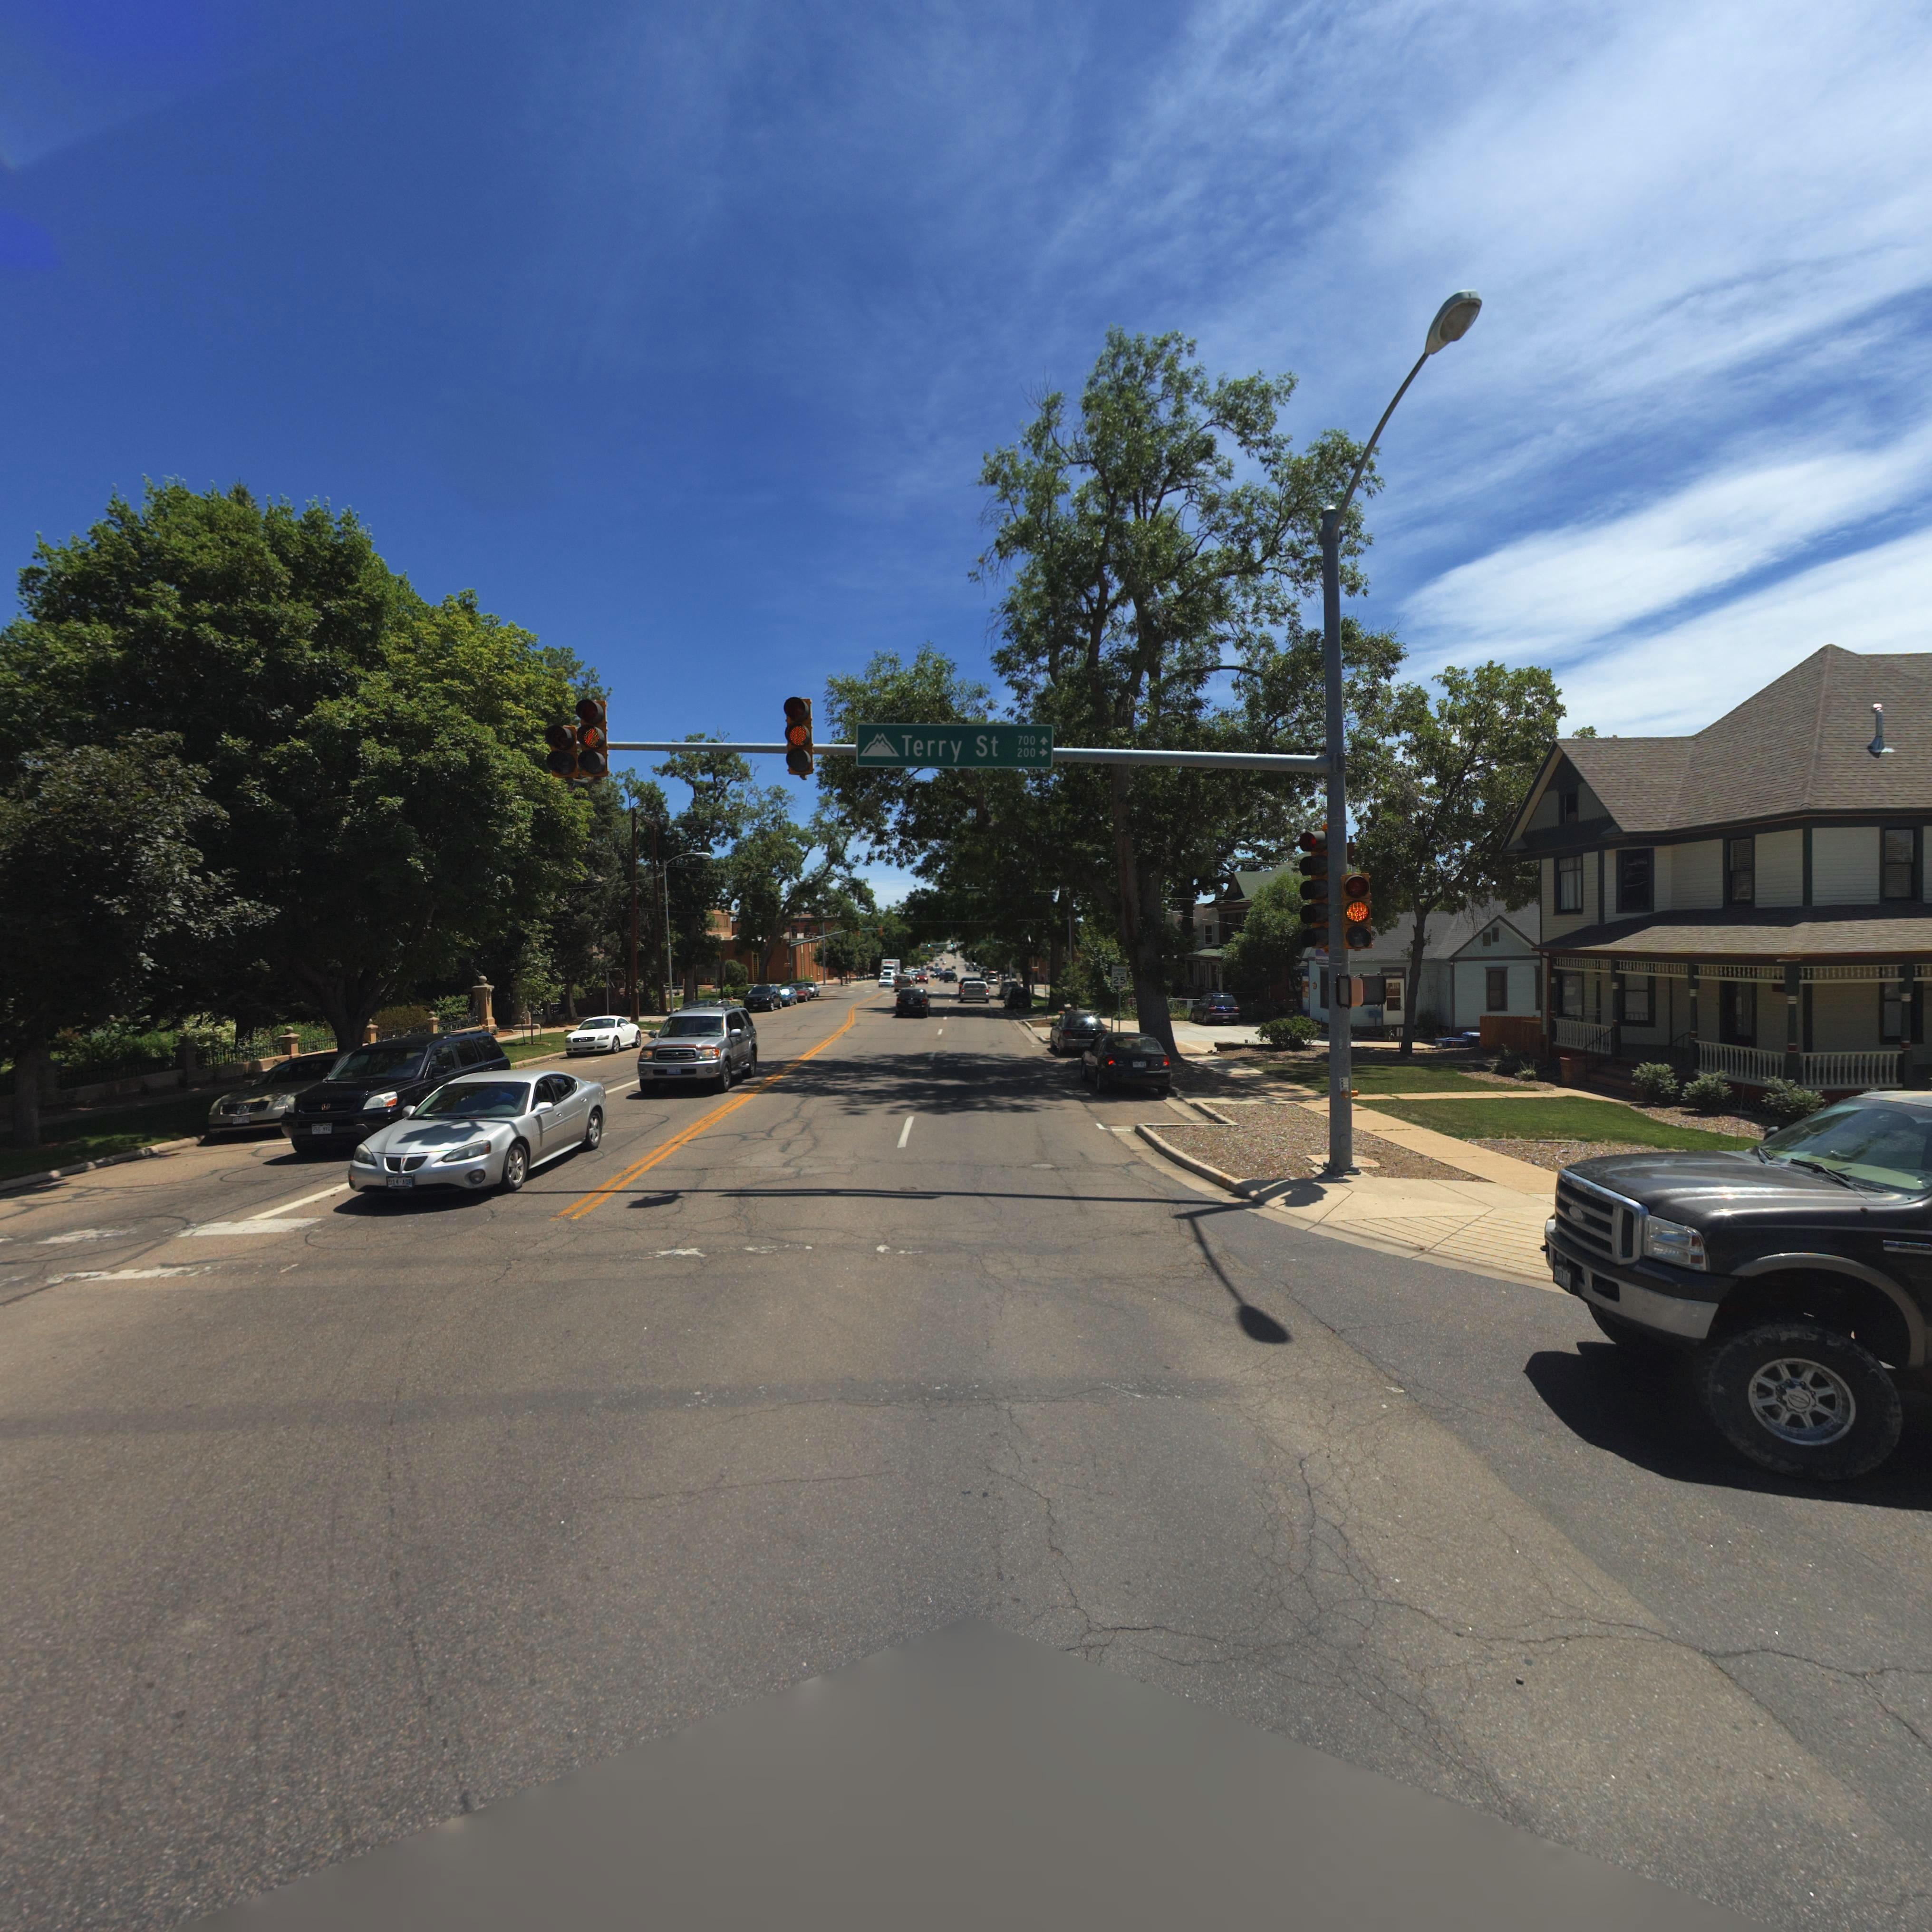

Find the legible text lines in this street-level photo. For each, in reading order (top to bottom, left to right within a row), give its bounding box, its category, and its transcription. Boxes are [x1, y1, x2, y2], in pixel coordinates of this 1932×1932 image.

[1017, 734, 1035, 745] StreetNumberRange: 700
[901, 734, 1000, 763] StreetName: Terry St
[1016, 747, 1048, 757] StreetNumberRange: 200->